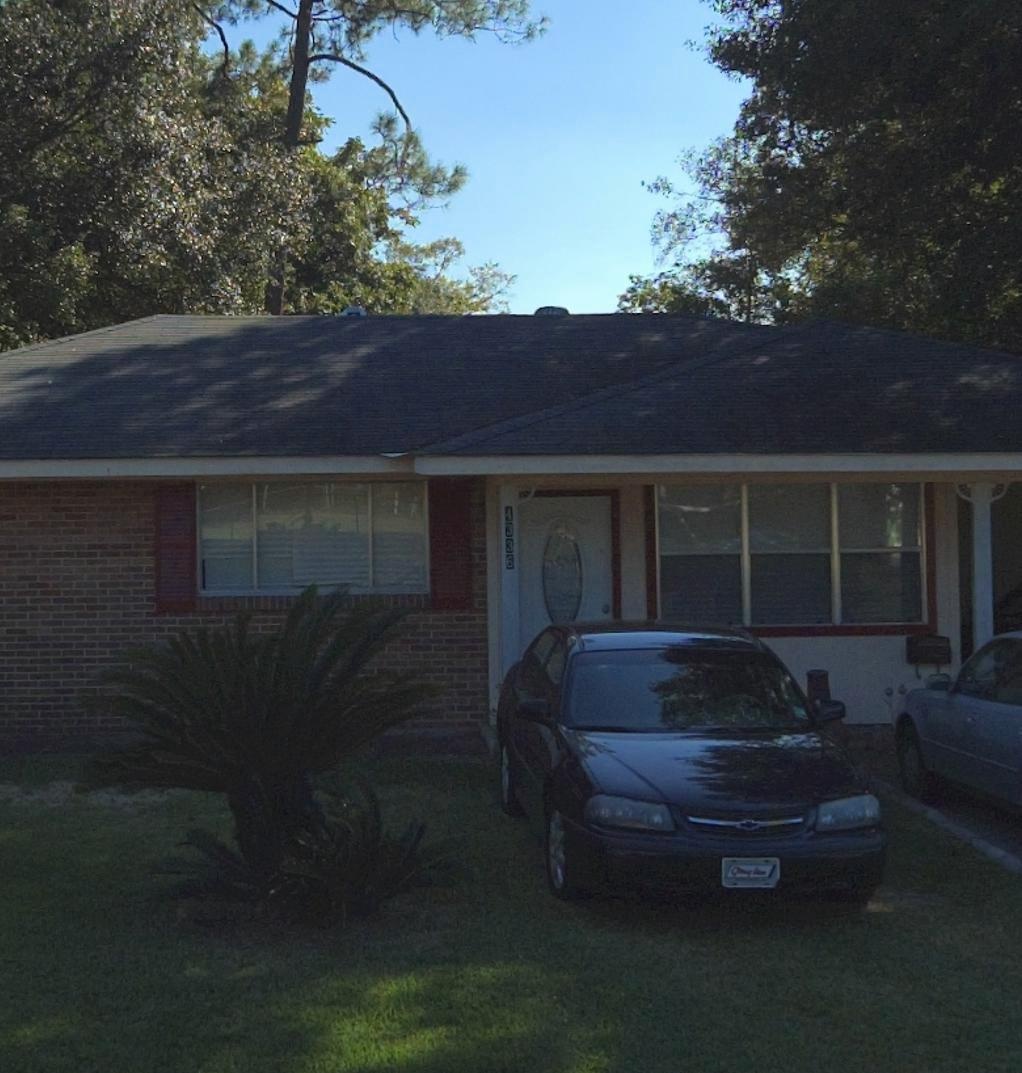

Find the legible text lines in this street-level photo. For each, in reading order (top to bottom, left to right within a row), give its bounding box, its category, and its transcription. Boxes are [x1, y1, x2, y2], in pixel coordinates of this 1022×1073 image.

[505, 507, 514, 570] StreetNumber: 4336